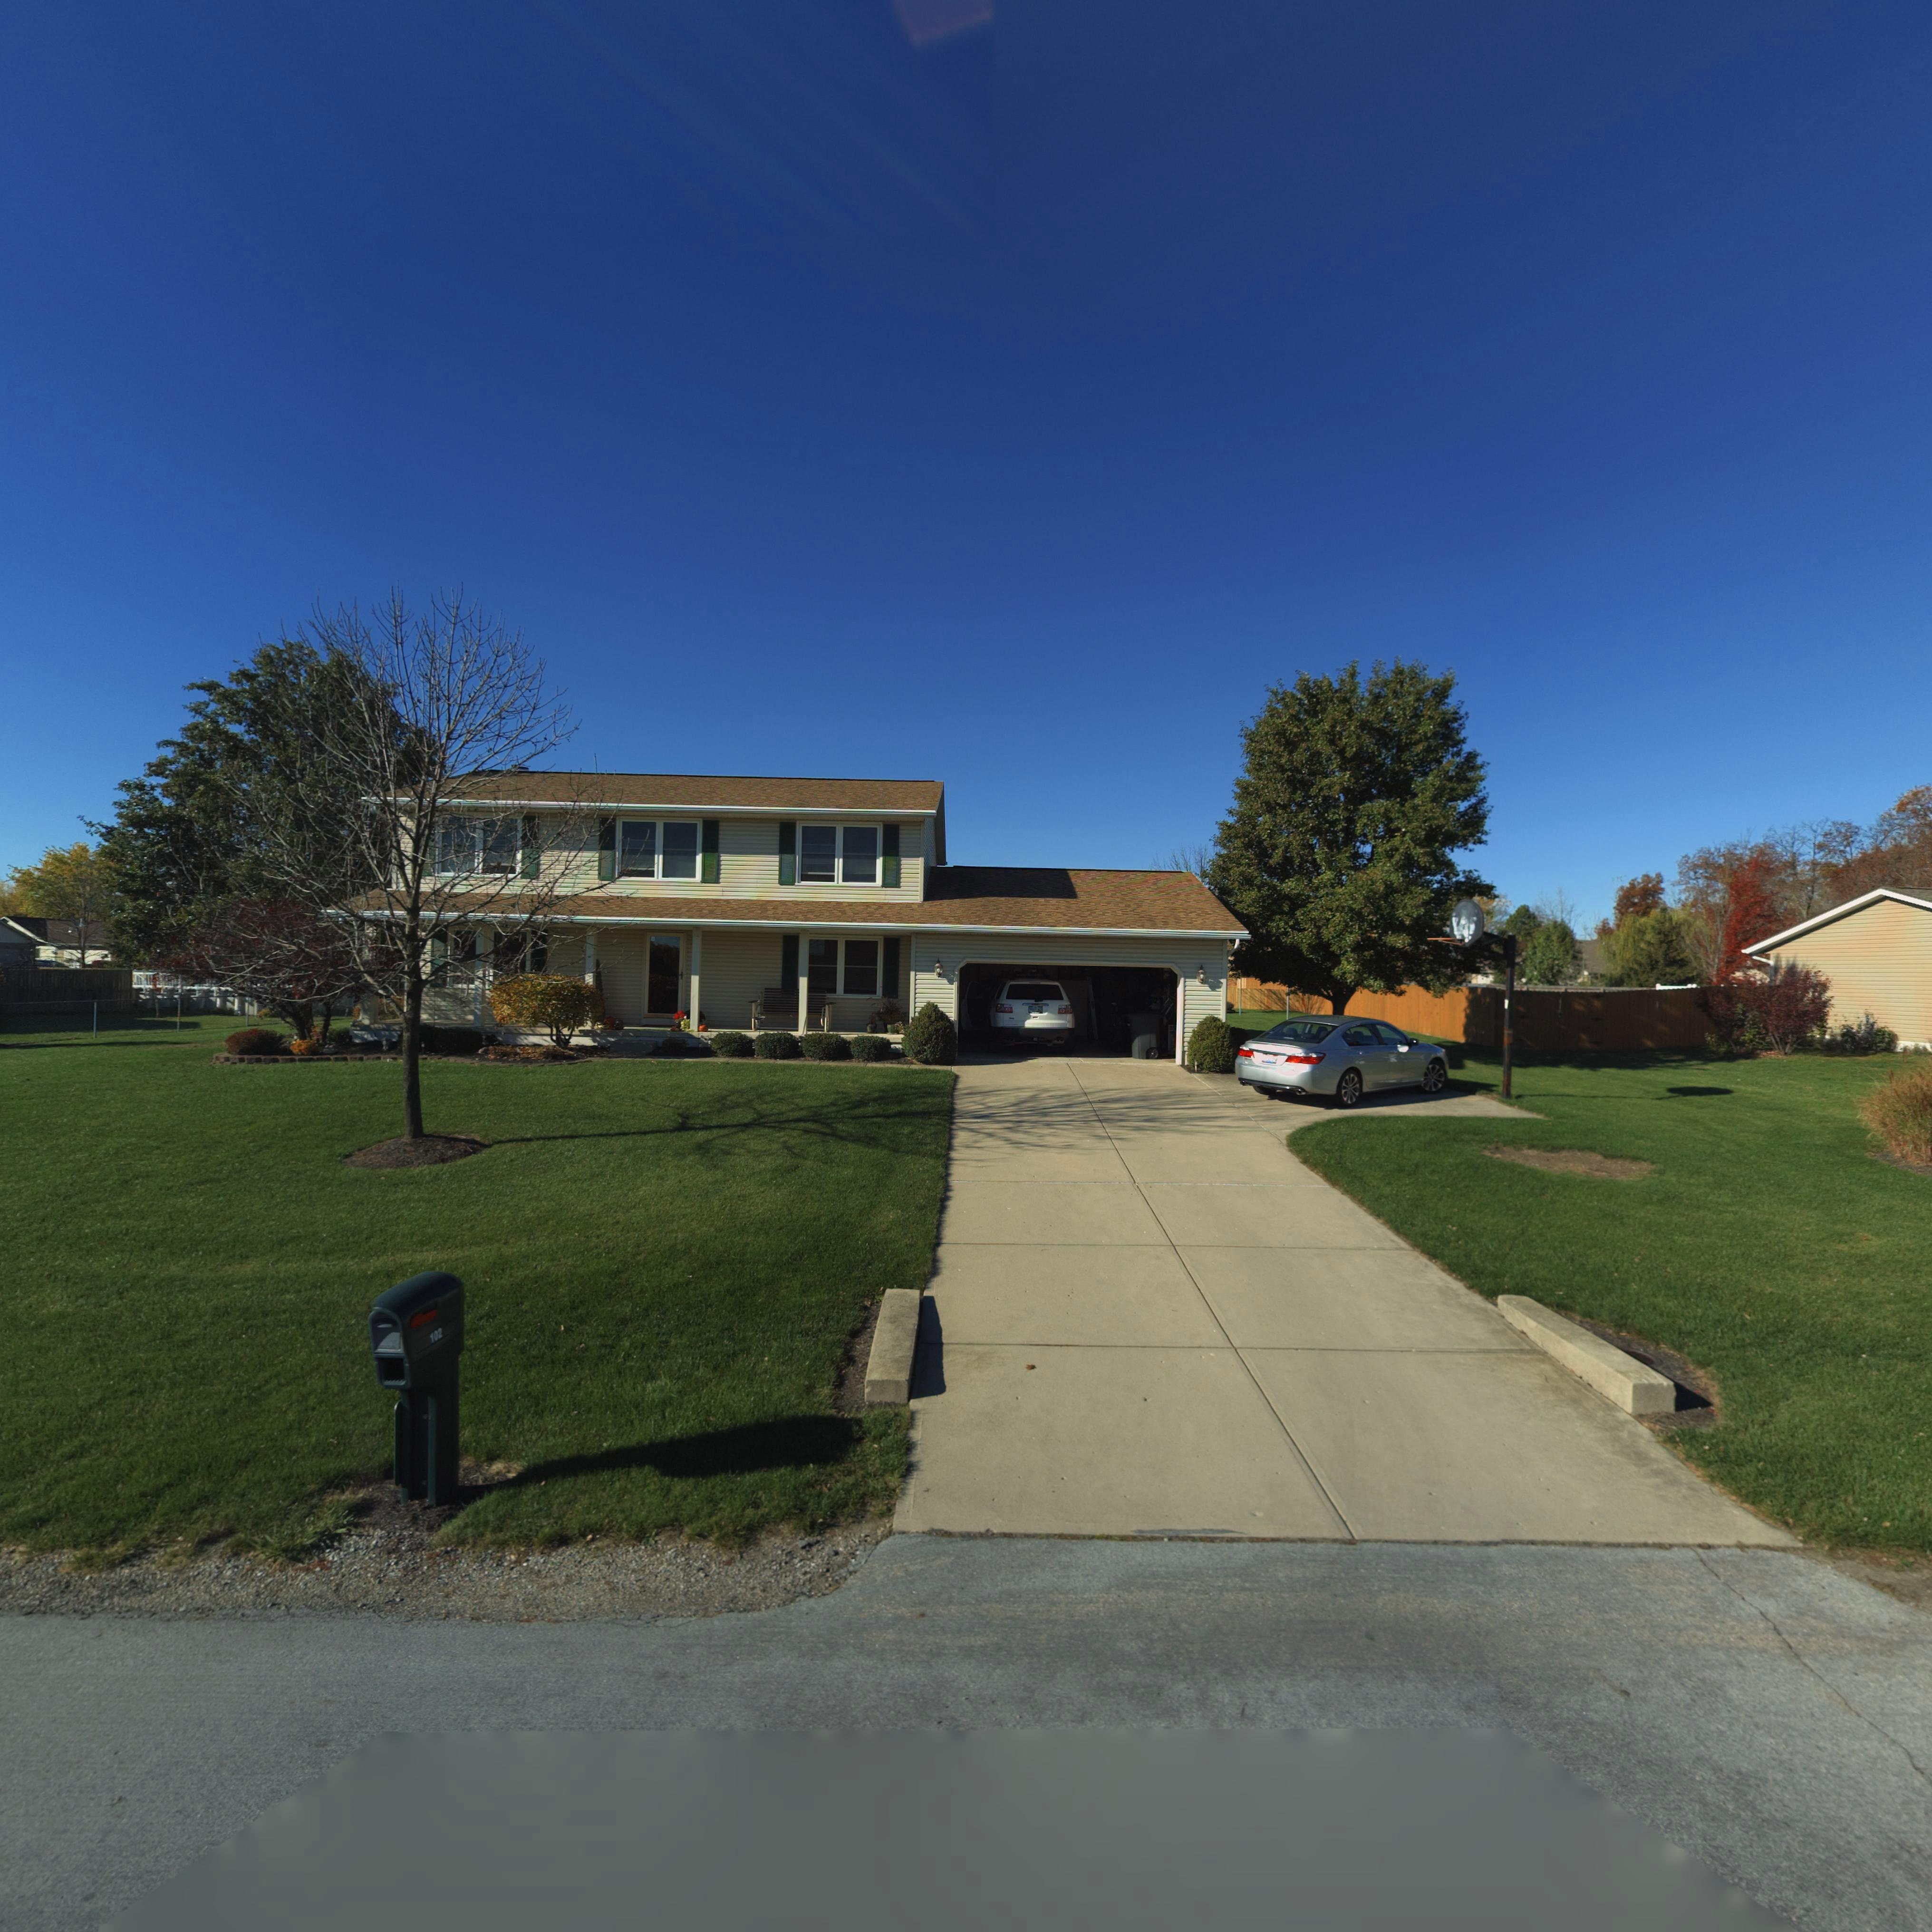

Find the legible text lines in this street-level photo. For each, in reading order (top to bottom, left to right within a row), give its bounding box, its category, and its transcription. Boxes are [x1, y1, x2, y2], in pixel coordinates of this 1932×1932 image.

[429, 1326, 444, 1345] StreetNumber: 102